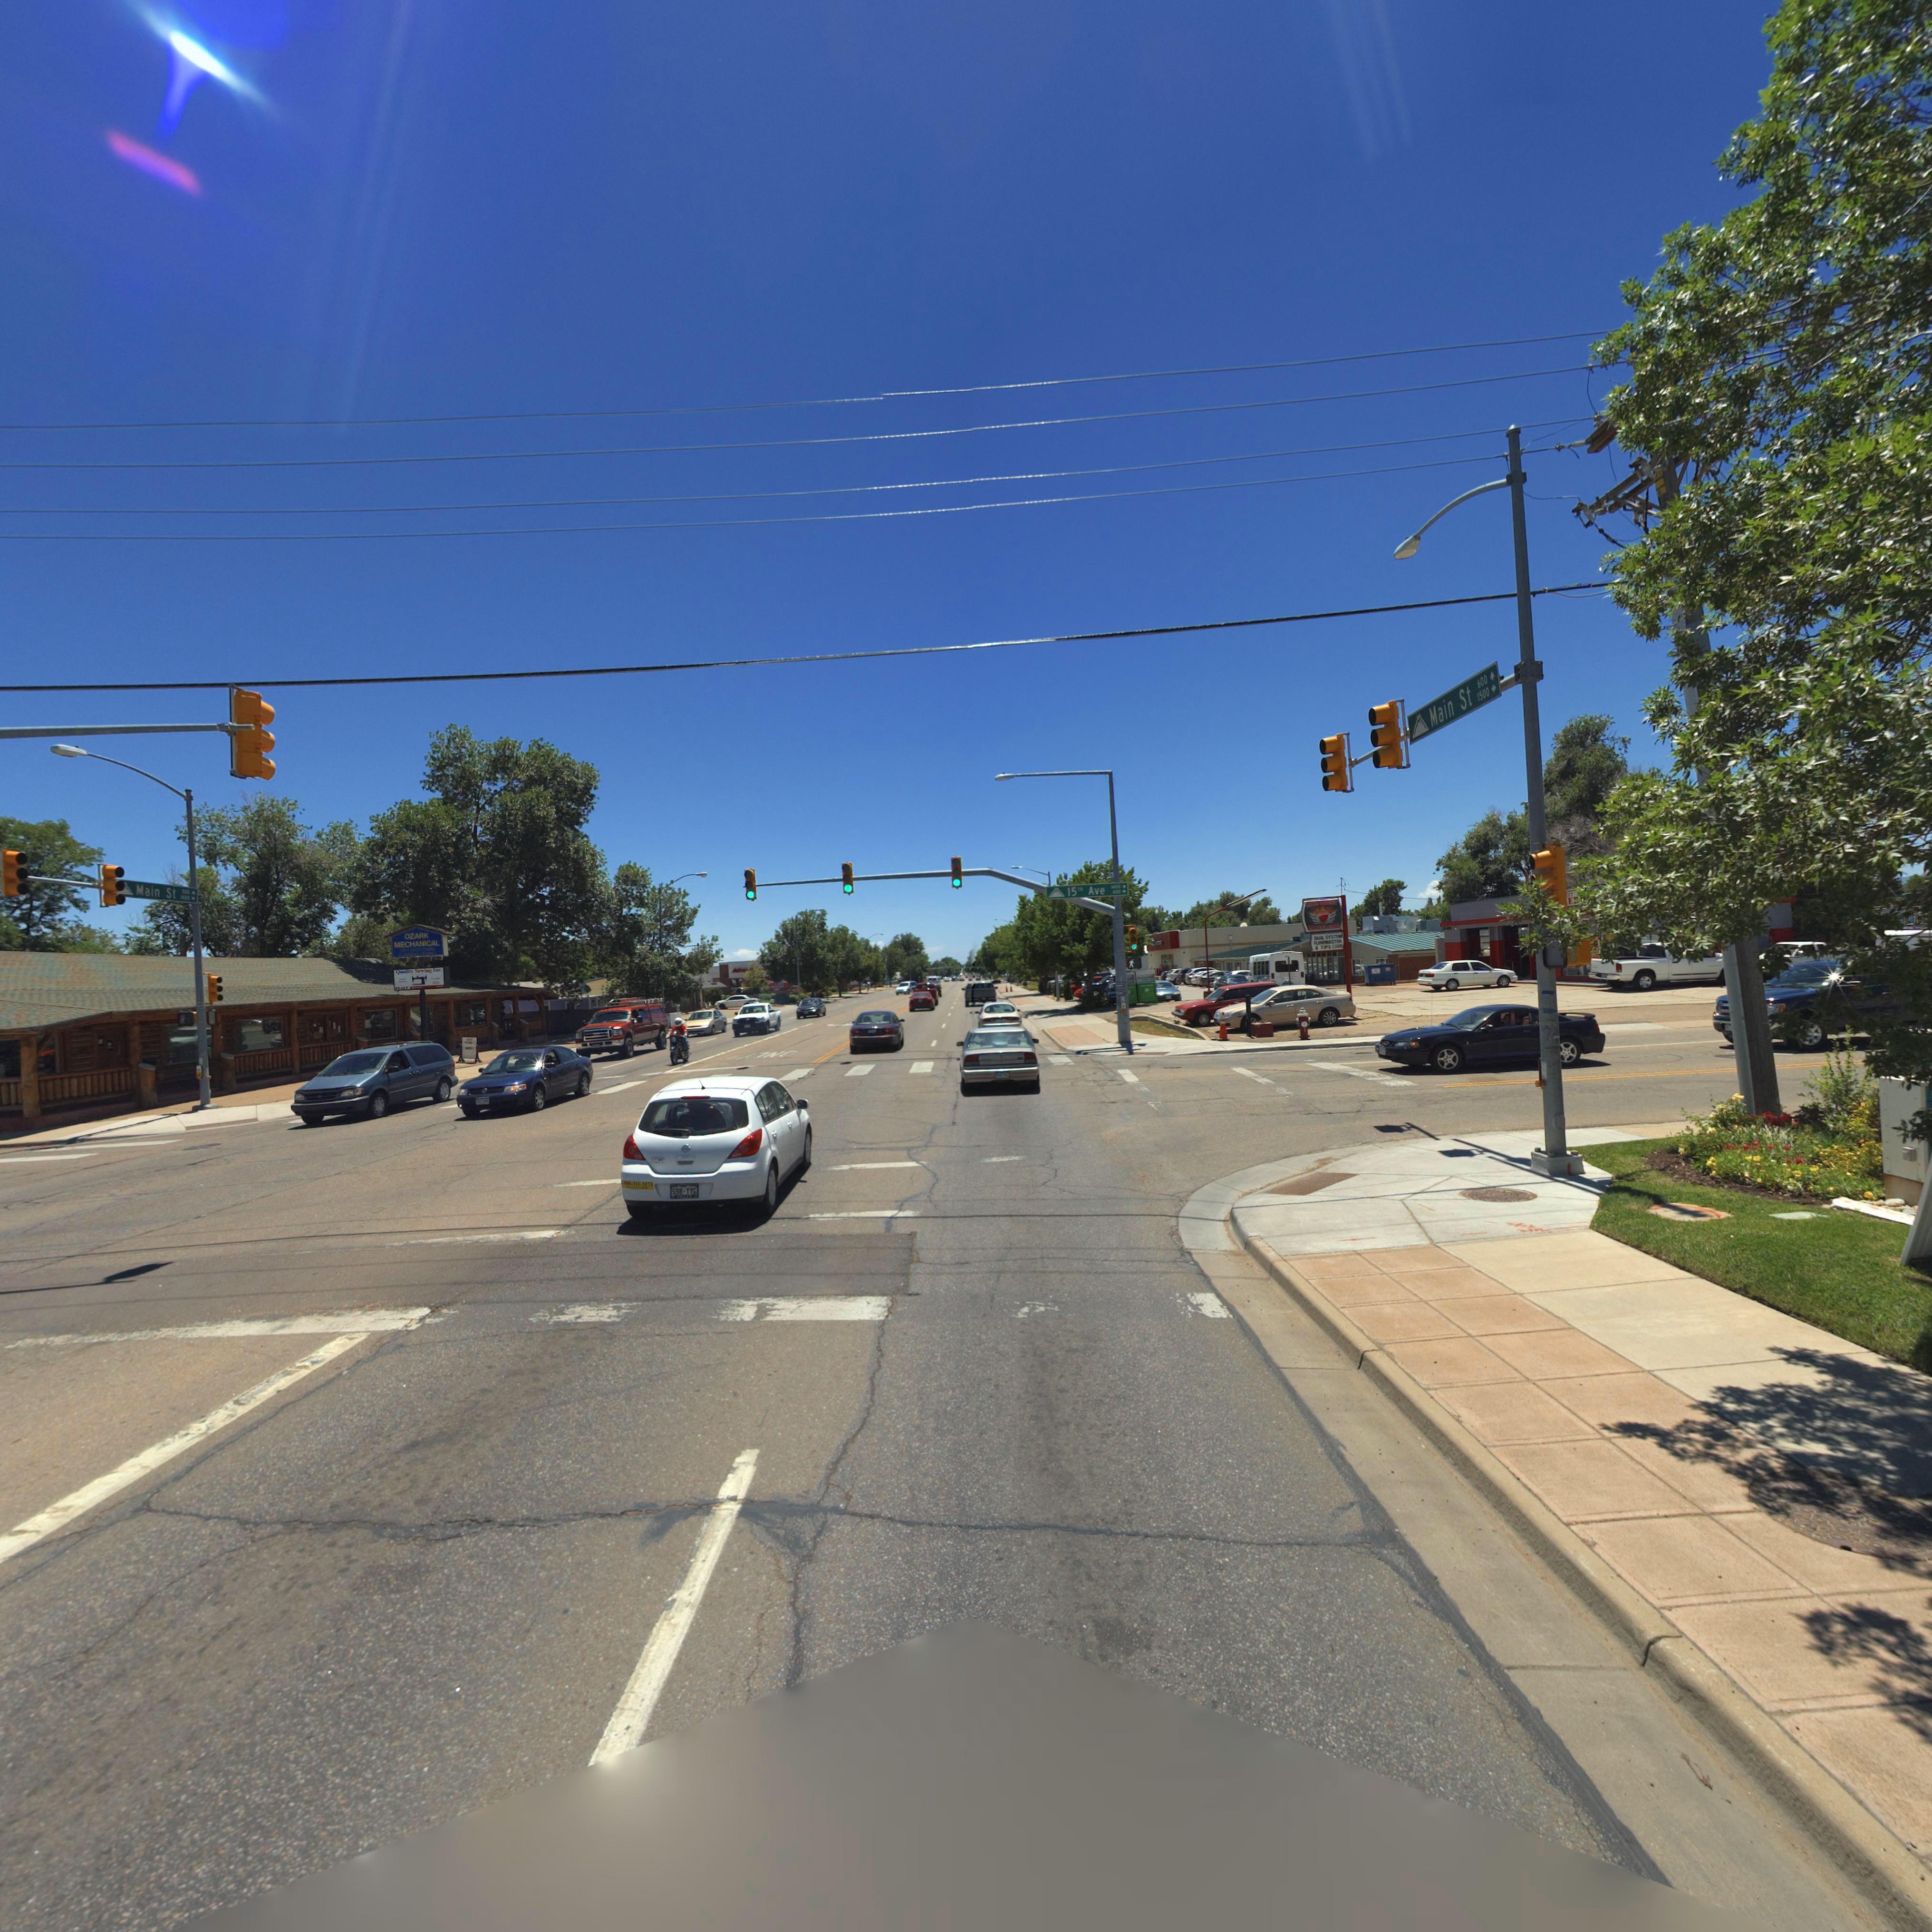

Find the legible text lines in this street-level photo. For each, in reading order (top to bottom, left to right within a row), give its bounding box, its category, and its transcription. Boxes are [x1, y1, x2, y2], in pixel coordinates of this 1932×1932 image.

[1477, 674, 1488, 689] StreetNumberRange: 600
[1476, 683, 1497, 702] StreetNumberRange: 1500->
[1428, 683, 1473, 728] StreetName: Main St
[1111, 884, 1121, 889] StreetNumberRange: 1400
[135, 883, 178, 899] BusinessName: Main St
[182, 889, 190, 894] StreetNumberRange: 500
[1066, 886, 1105, 896] StreetName: 15th Ave
[1112, 889, 1127, 894] StreetNumberRange: 600->
[180, 894, 195, 900] StreetNumberRange: 1*00->
[1306, 900, 1337, 907] BusinessName: M*** *****T
[1308, 923, 1339, 930] BusinessName: M******S
[404, 932, 429, 940] BusinessName: OZARK
[394, 939, 440, 947] BusinessName: MECHANICAL
[395, 967, 443, 975] BusinessName: Quality Sewing Inc.